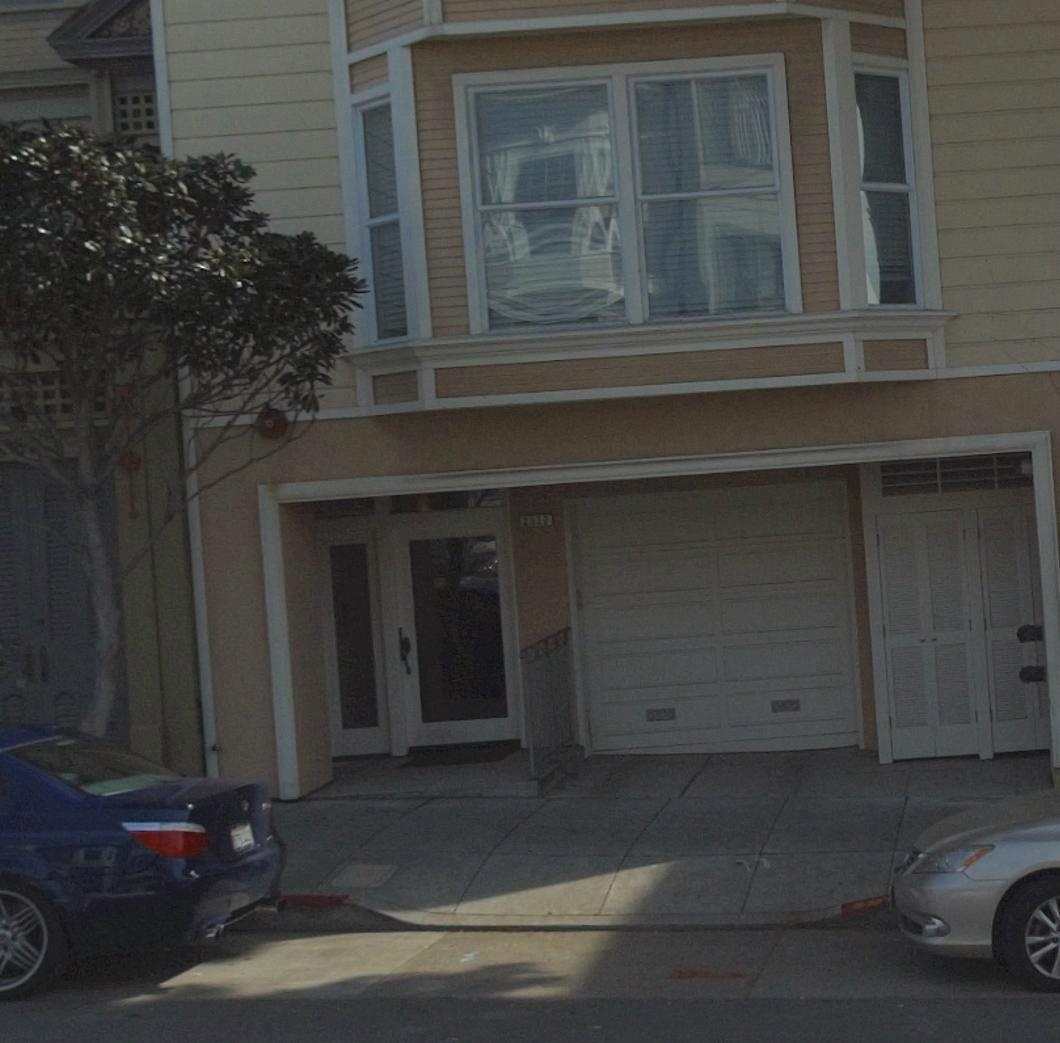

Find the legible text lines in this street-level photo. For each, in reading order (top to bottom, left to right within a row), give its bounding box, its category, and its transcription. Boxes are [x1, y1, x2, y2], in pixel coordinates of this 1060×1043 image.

[520, 514, 551, 529] StreetNumber: 2*5*